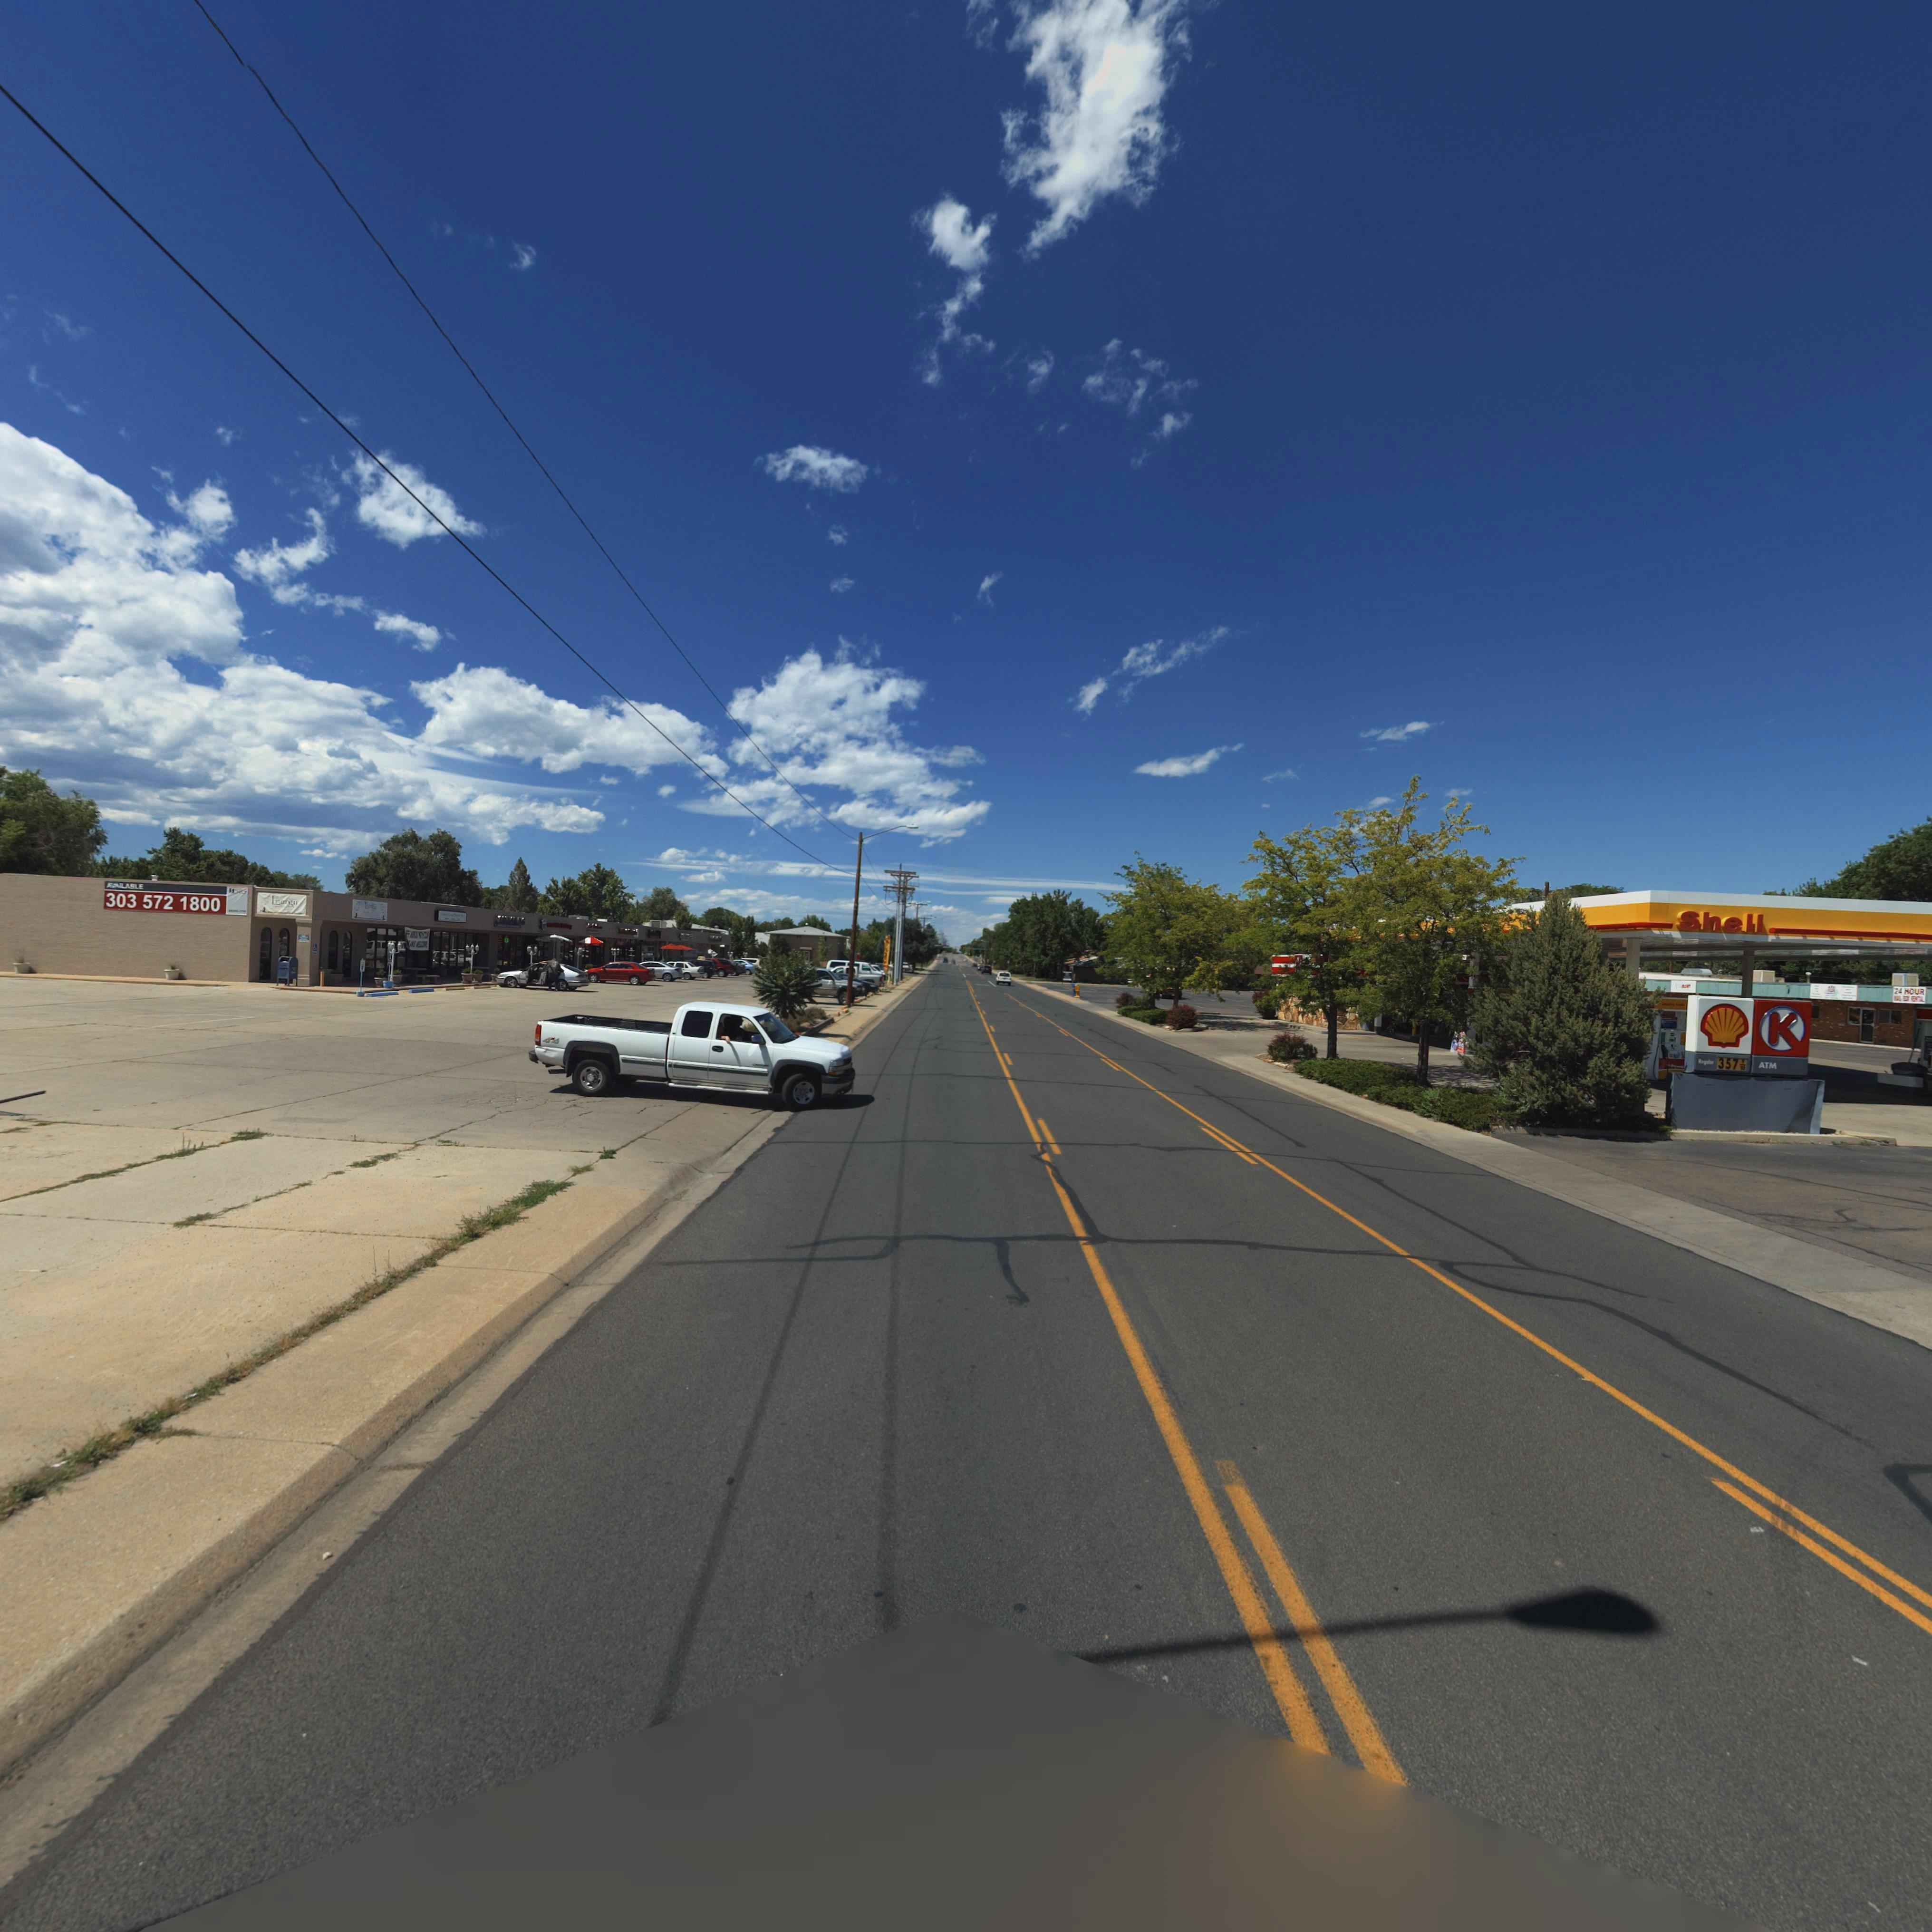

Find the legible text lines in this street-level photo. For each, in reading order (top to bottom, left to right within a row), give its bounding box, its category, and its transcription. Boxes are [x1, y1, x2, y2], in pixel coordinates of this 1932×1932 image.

[1679, 910, 1764, 933] BusinessName: Shell
[1680, 984, 1690, 987] BusinessName: ALERT